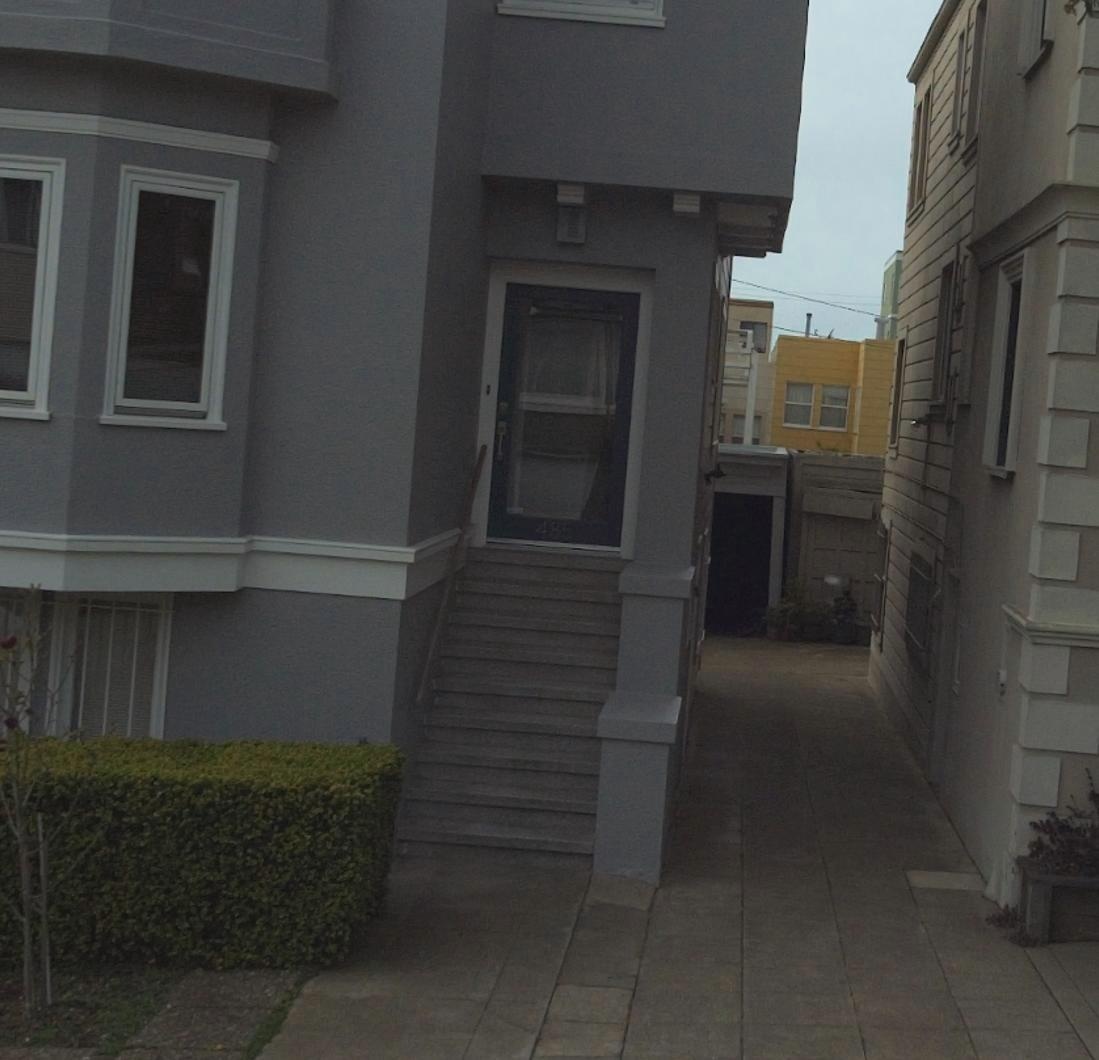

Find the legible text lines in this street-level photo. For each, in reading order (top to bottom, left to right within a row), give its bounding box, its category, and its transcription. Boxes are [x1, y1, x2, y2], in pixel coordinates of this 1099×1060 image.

[533, 520, 574, 541] StreetNumber: 485